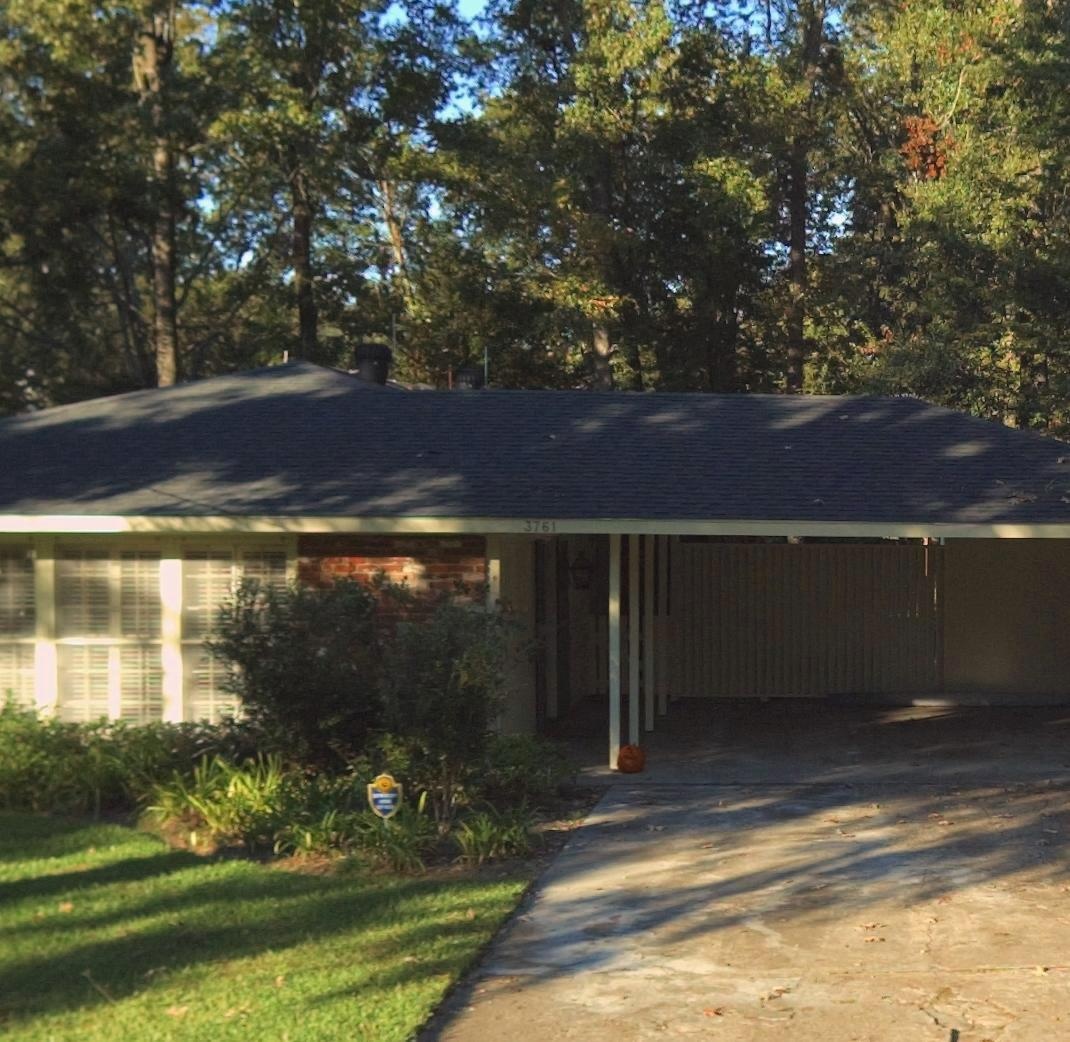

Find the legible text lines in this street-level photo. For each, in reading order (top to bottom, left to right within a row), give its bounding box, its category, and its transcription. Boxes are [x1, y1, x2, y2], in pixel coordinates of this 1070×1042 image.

[522, 519, 558, 534] StreetNumber: 3761